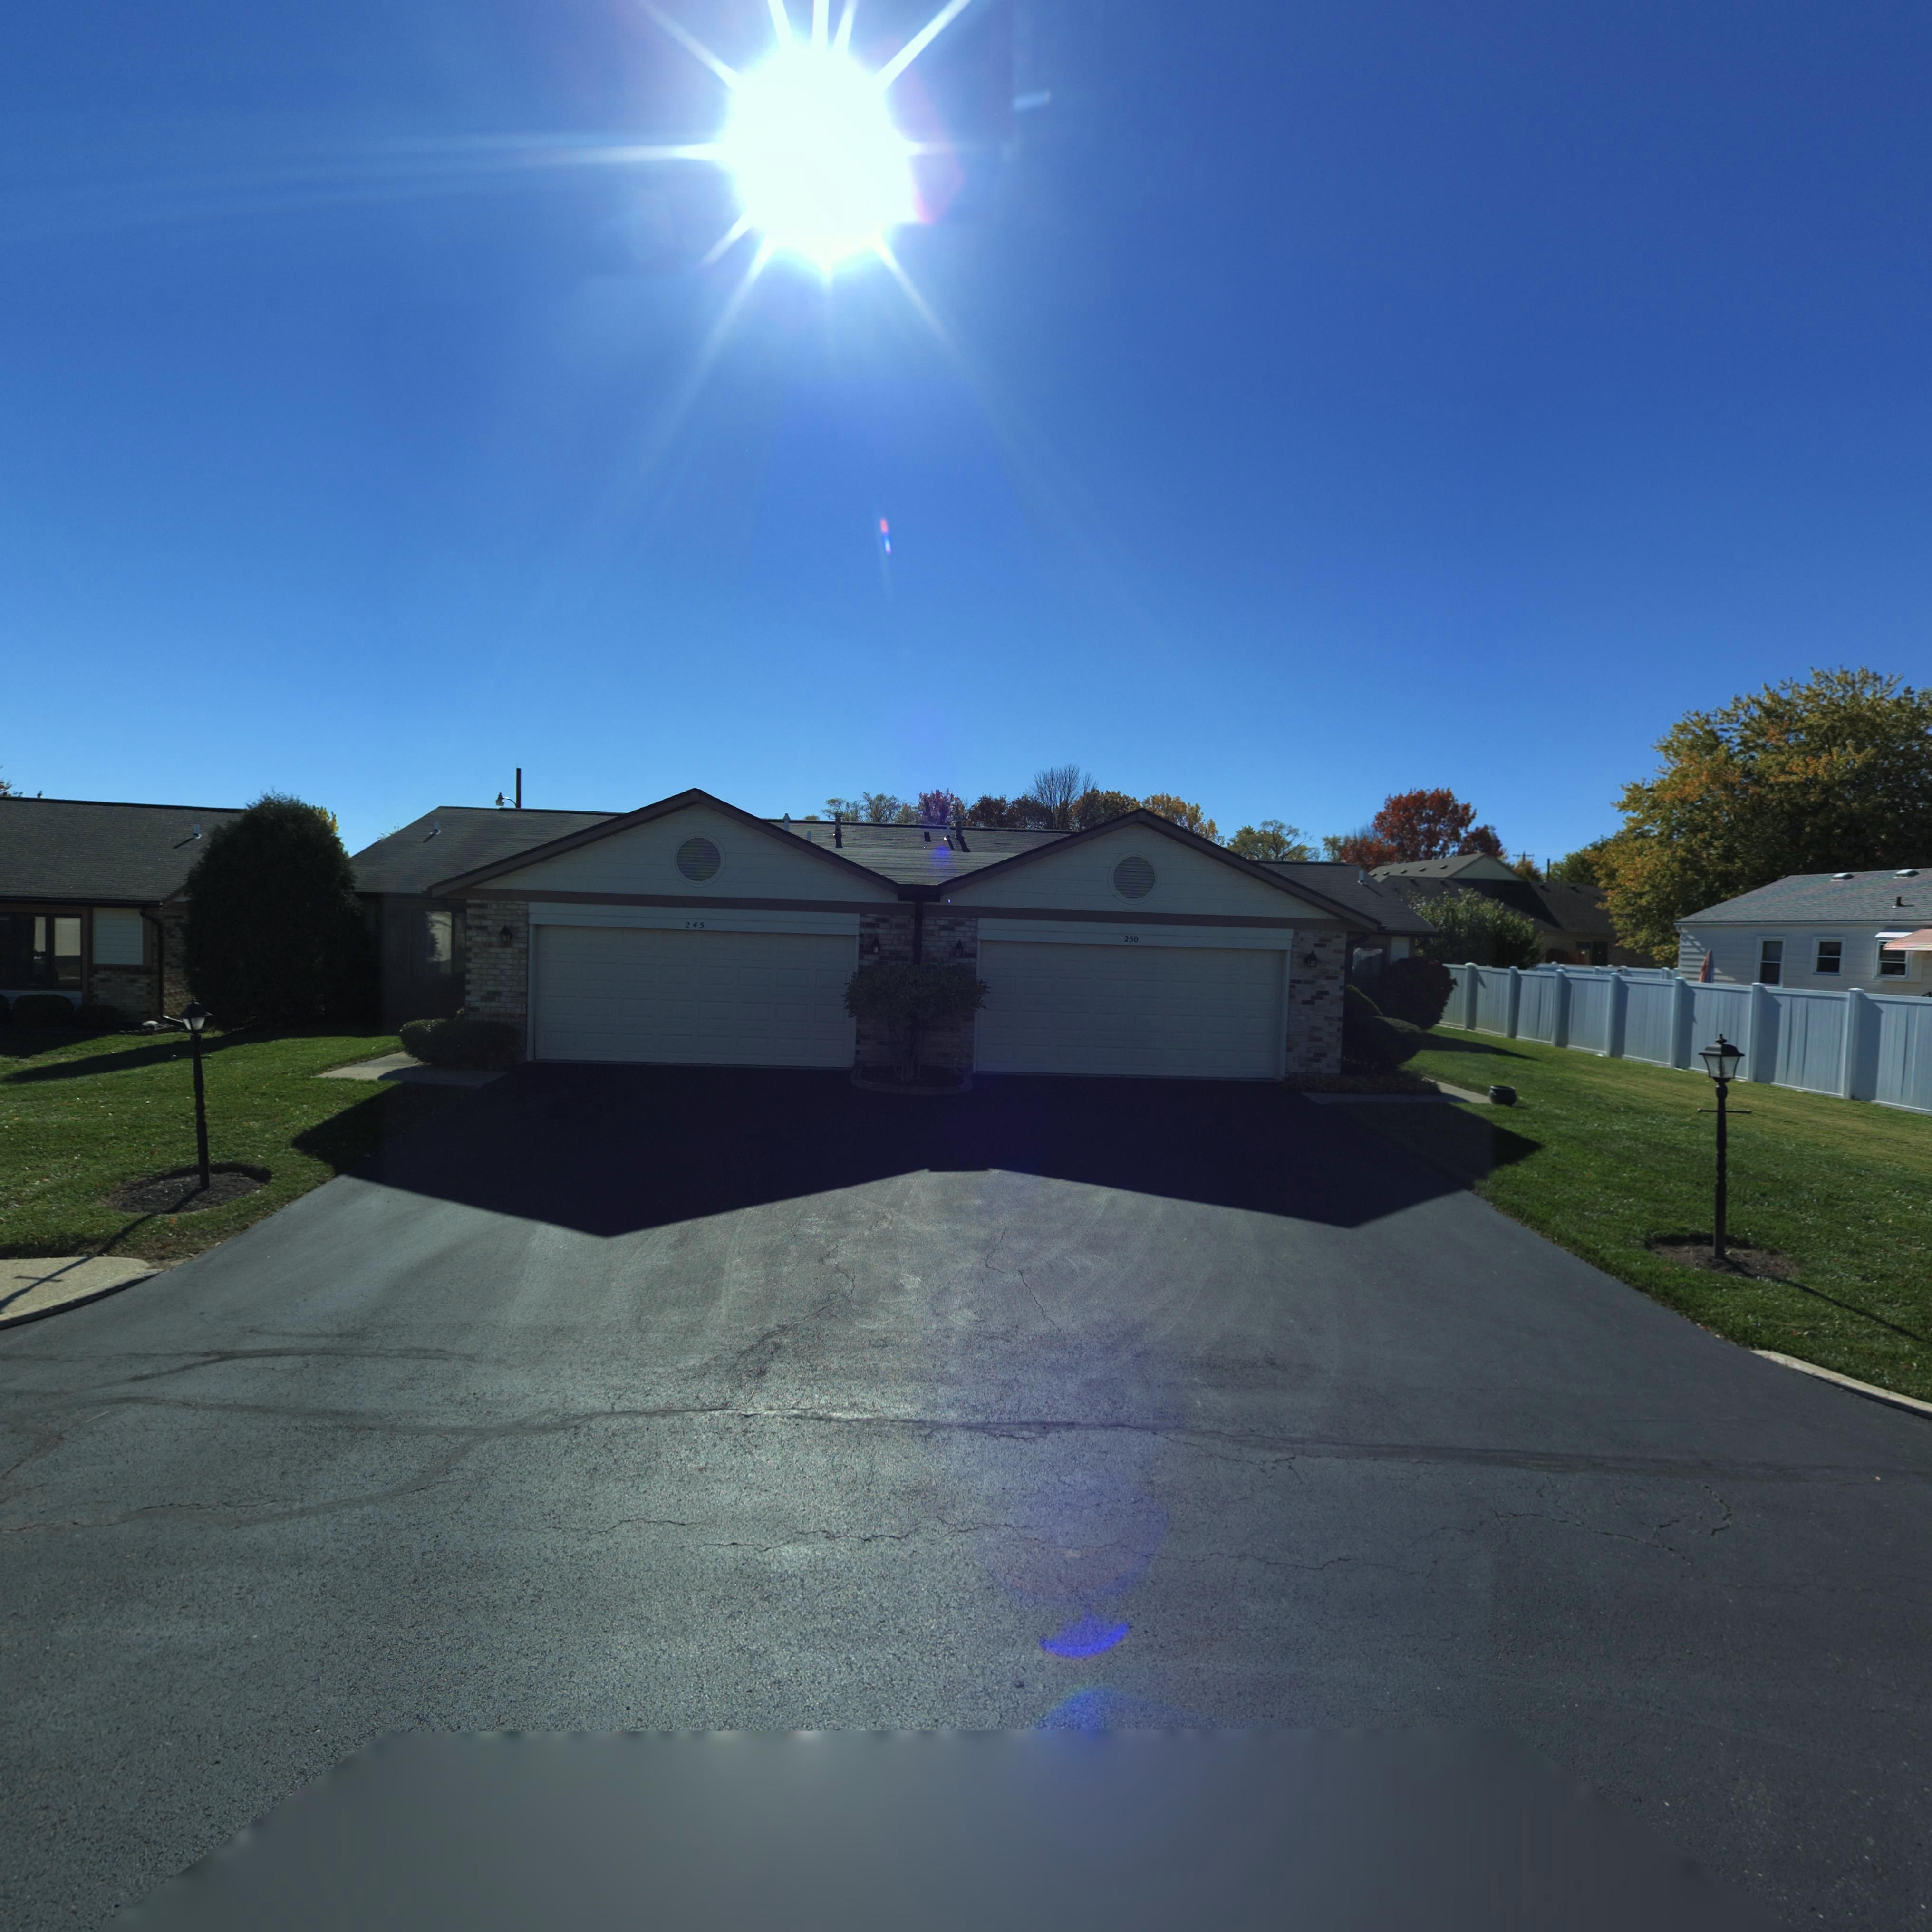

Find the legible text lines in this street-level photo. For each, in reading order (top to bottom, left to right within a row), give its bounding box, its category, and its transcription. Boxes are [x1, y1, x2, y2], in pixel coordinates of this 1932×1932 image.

[684, 920, 705, 930] StreetNumber: 245
[1123, 935, 1139, 943] StreetNumber: 250